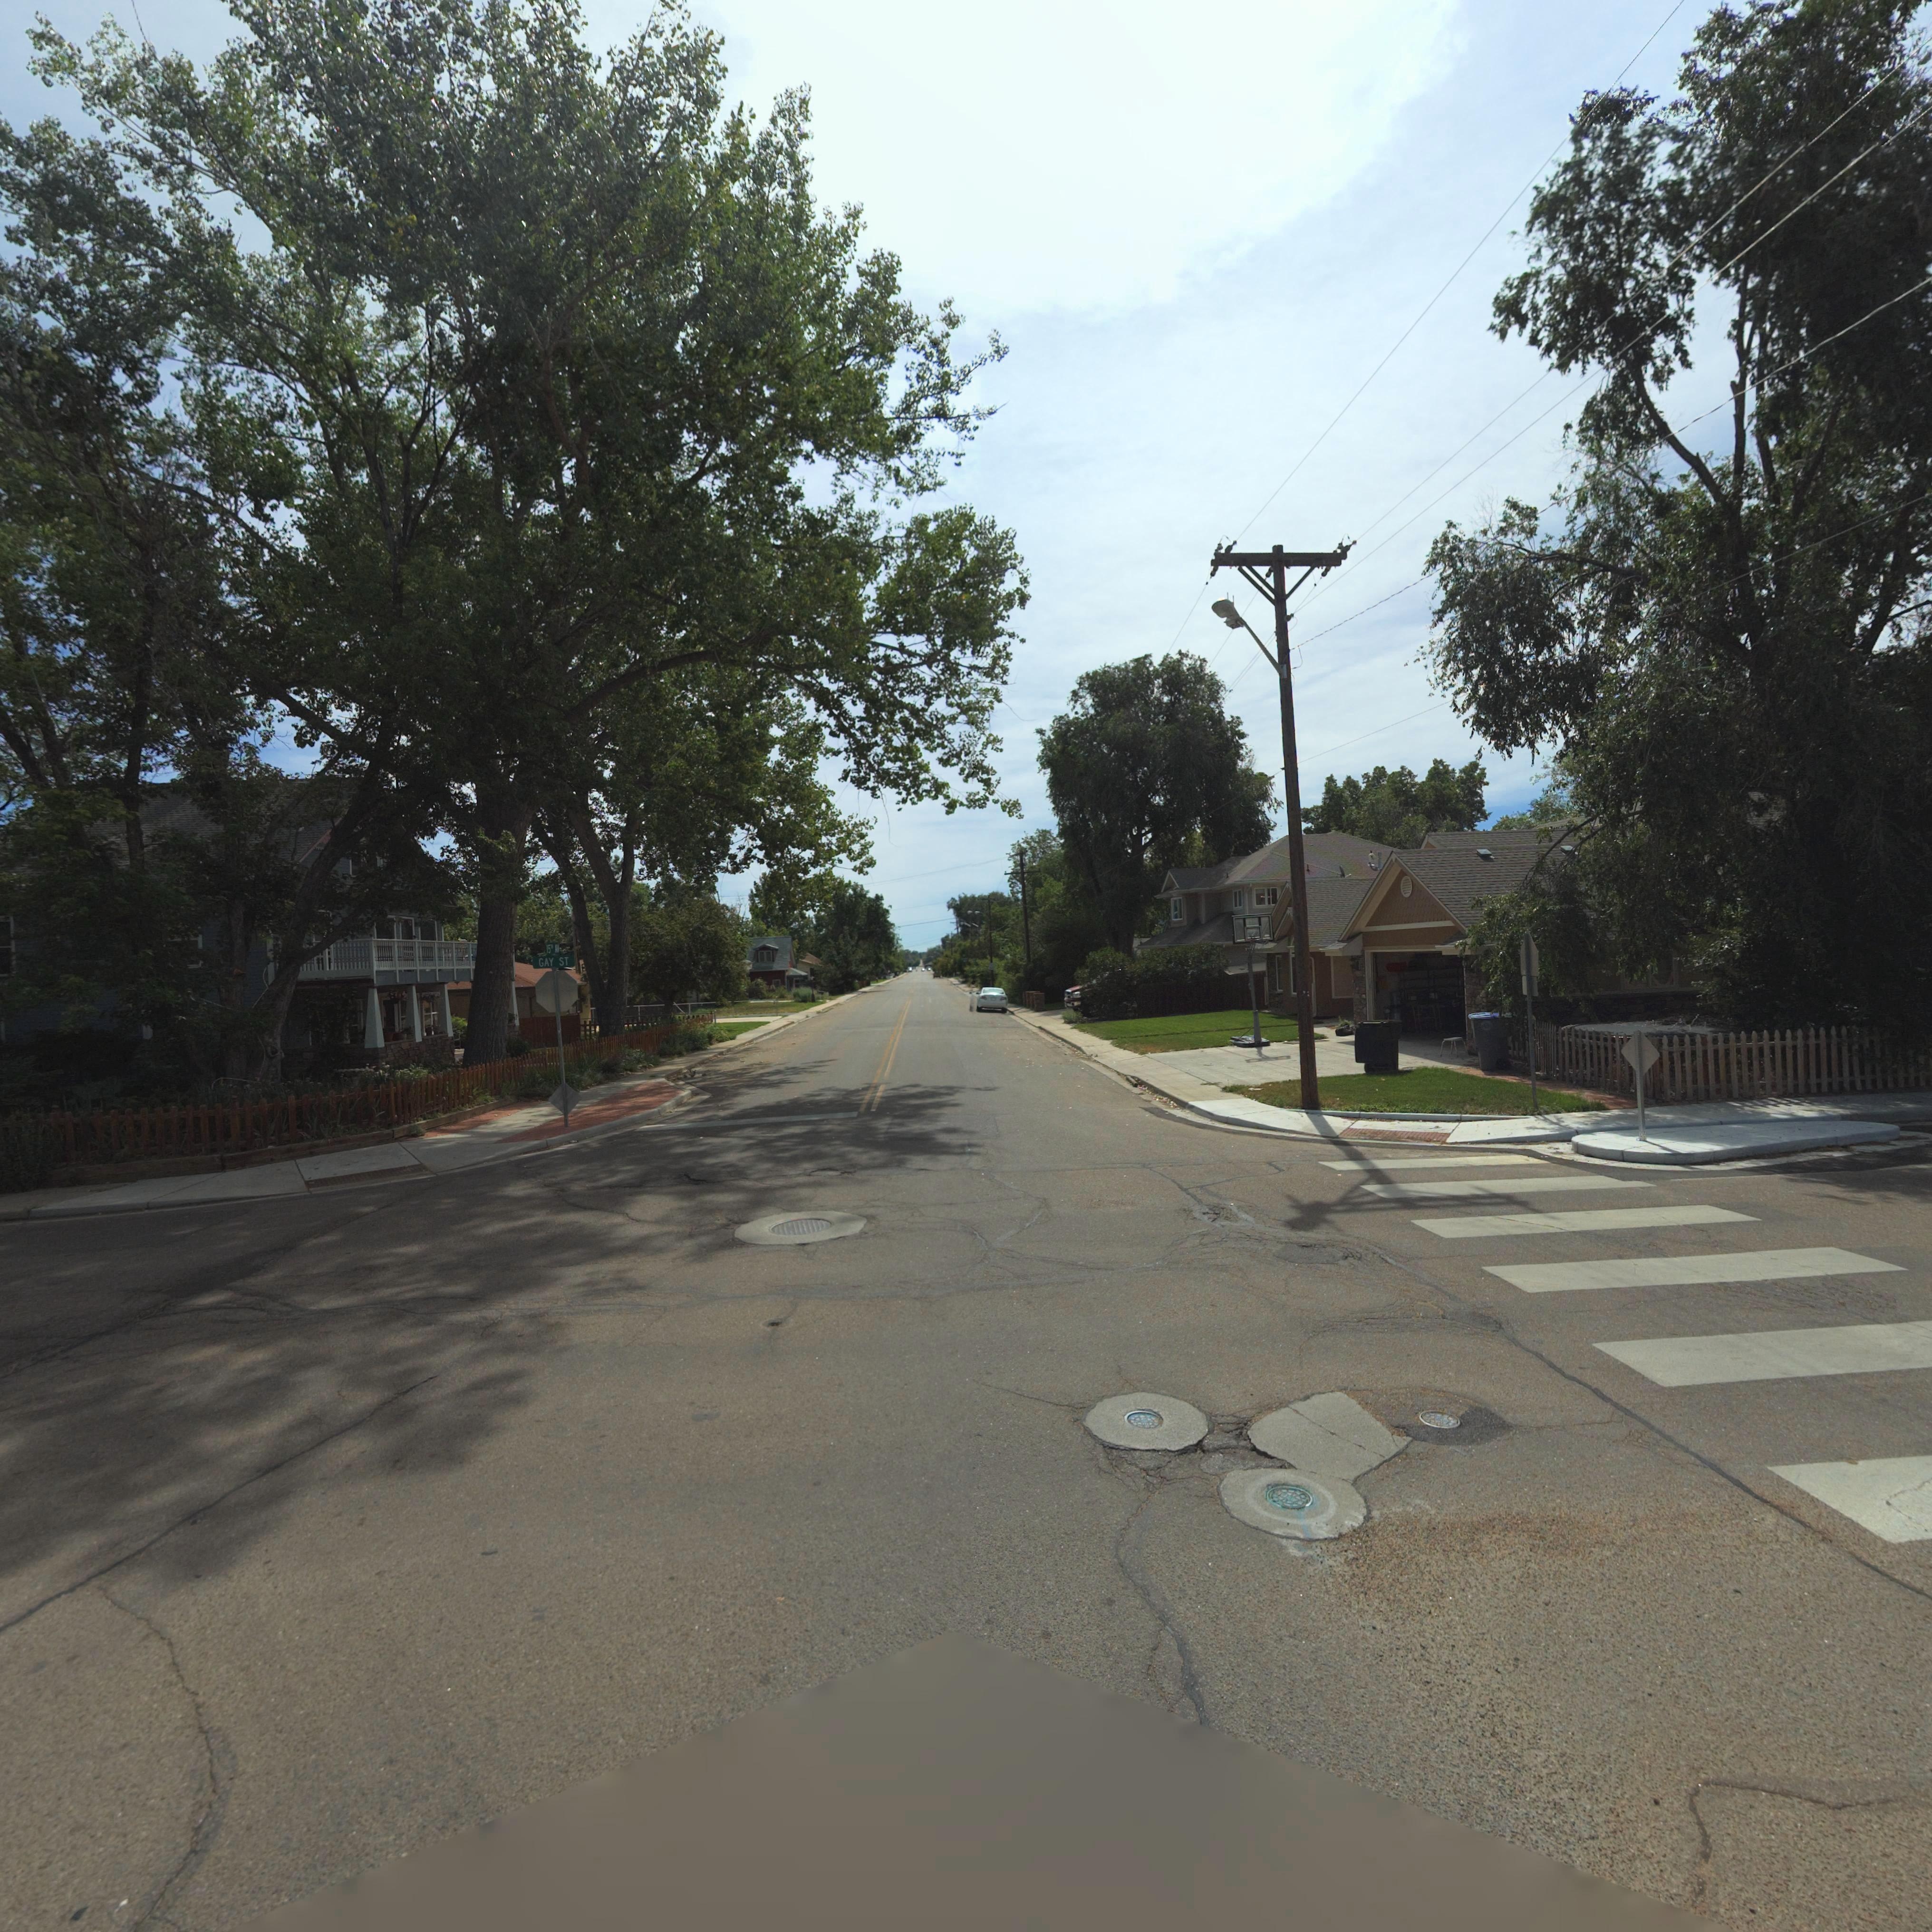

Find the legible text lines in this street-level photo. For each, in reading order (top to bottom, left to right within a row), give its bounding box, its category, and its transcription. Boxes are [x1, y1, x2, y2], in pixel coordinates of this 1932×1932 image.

[546, 944, 559, 954] StreetName: 15** AV
[538, 956, 569, 967] StreetName: GAY ST